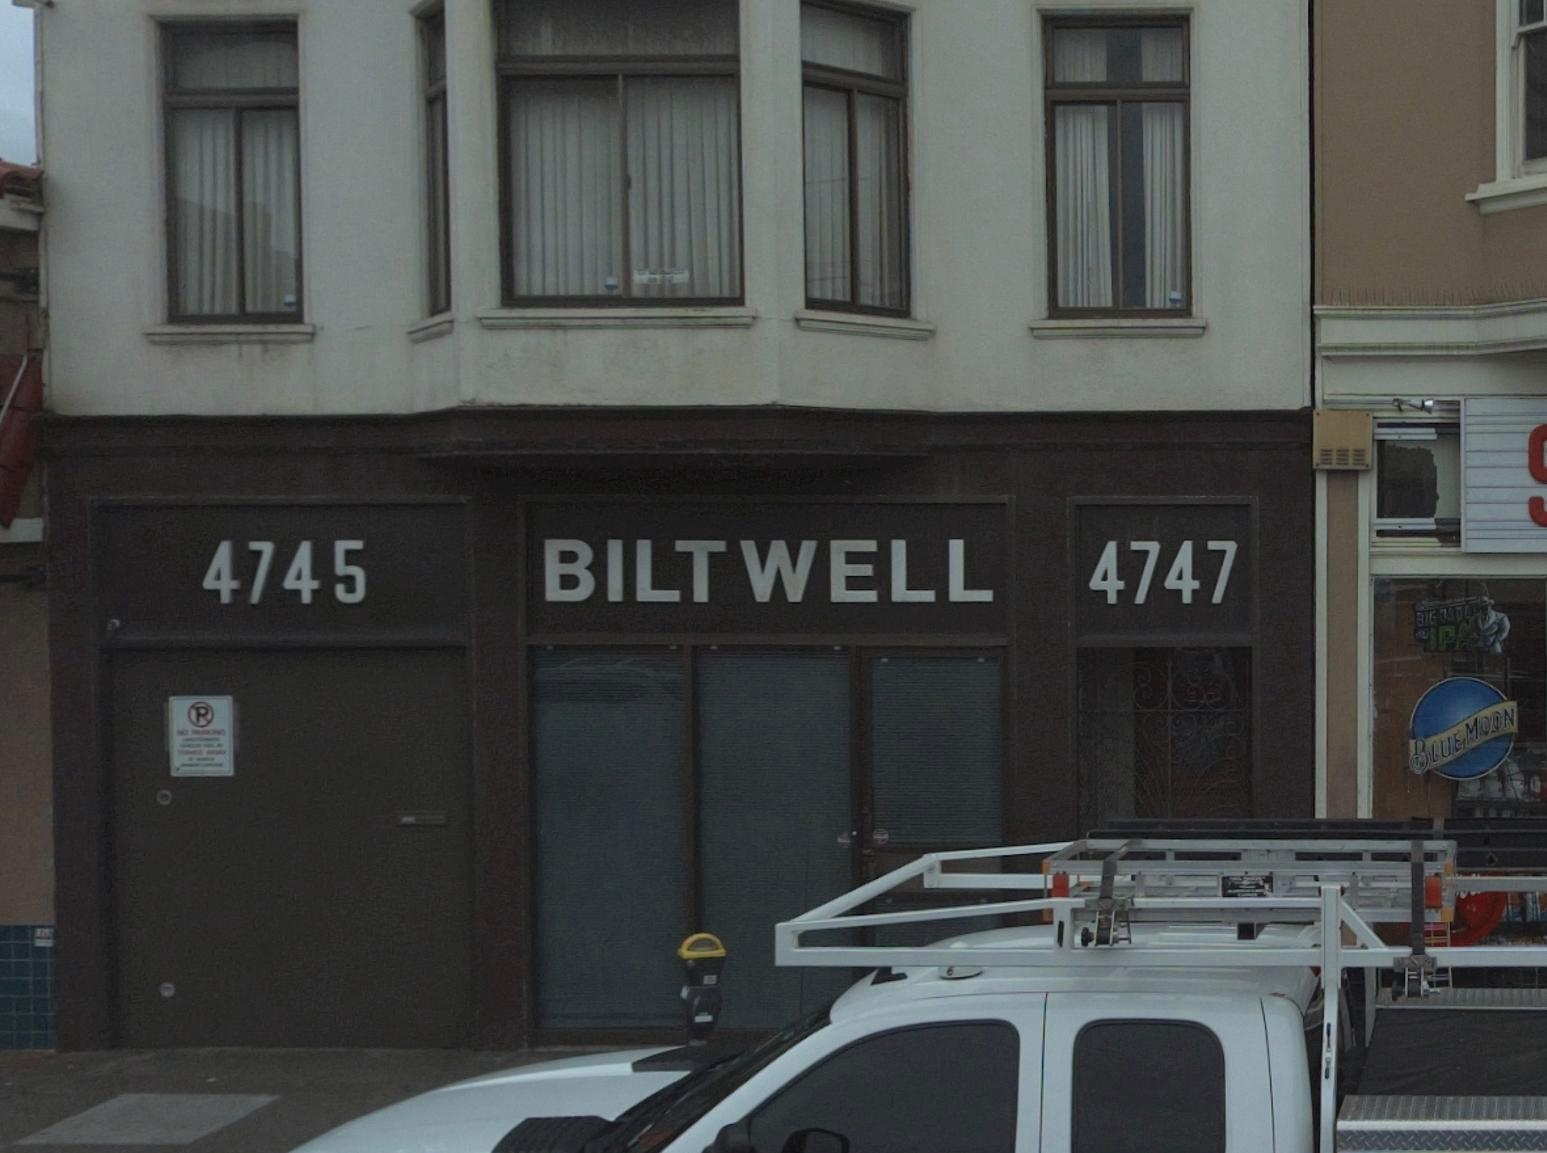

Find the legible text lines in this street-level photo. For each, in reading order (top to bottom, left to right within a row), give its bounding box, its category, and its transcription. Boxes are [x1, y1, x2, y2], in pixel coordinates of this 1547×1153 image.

[197, 534, 370, 609] StreetNumber: 4745
[541, 534, 998, 607] BusinessName: BILTWELL
[1084, 535, 1245, 610] StreetNumber: 4747
[1414, 607, 1439, 630] None: BIG
[1405, 706, 1516, 779] None: BLUEMOON